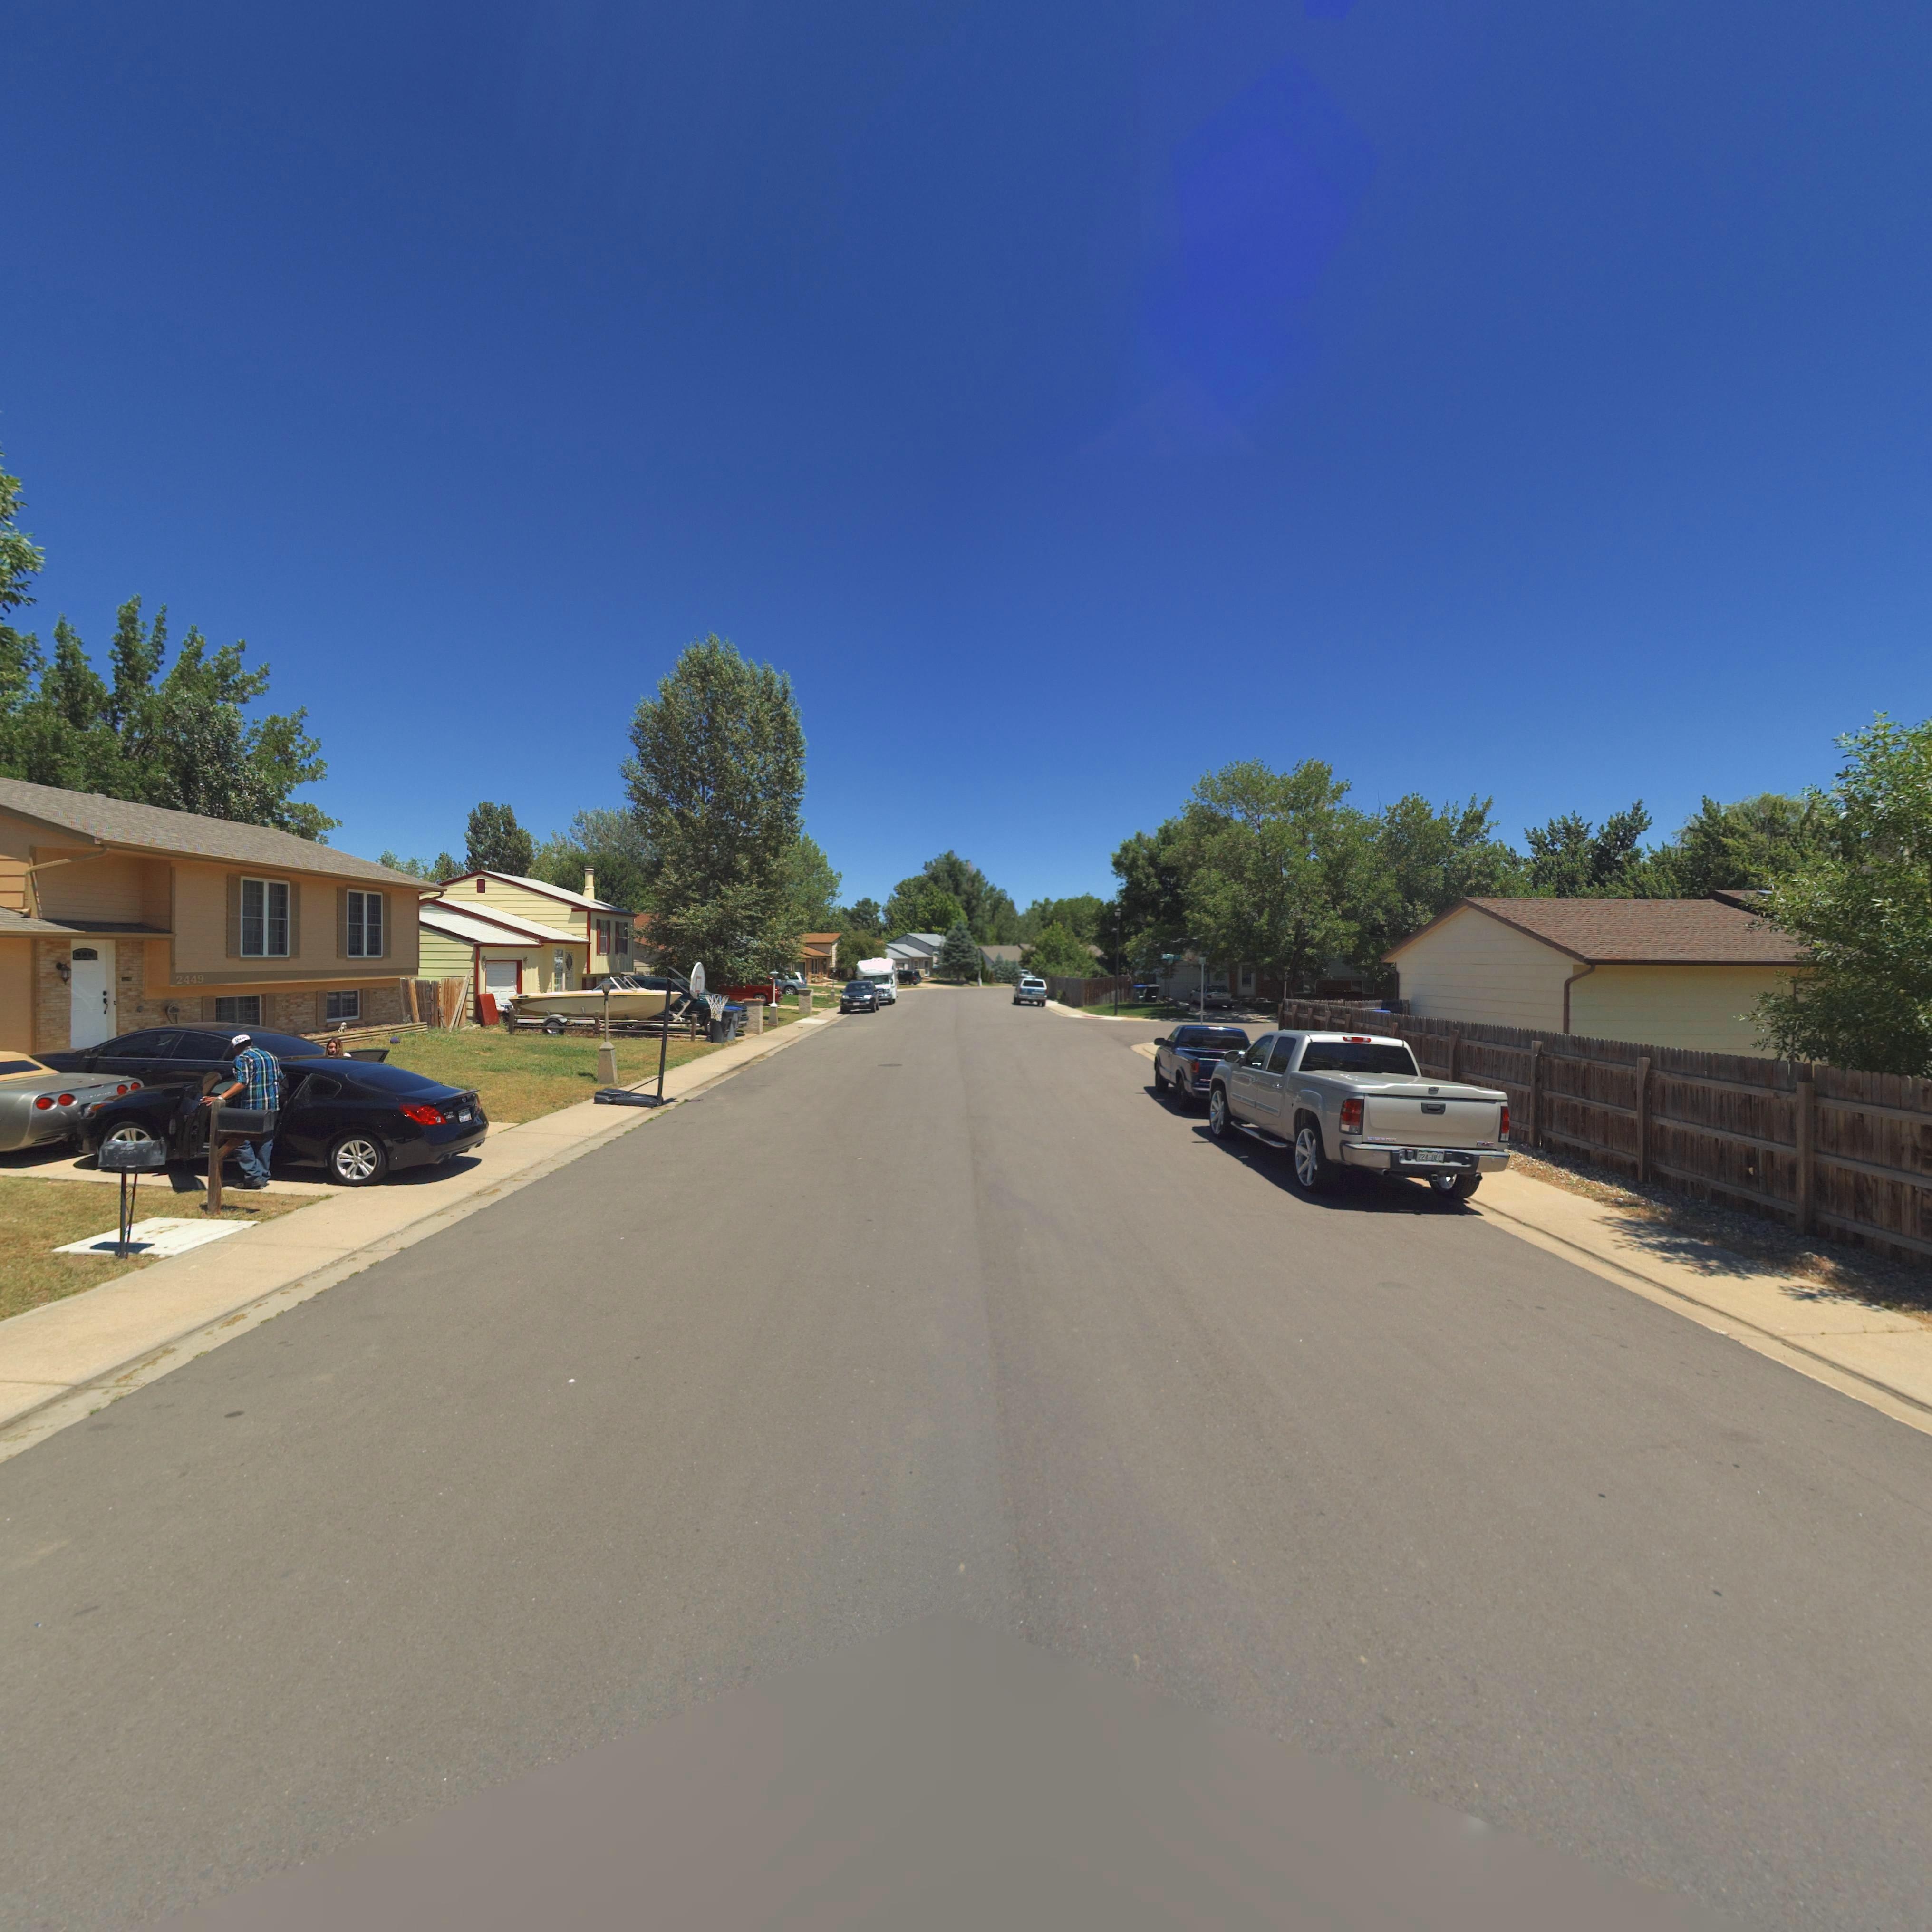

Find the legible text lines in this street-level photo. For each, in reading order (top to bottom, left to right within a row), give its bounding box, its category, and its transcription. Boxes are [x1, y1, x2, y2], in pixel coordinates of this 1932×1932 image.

[175, 974, 205, 985] StreetNumber: 2449